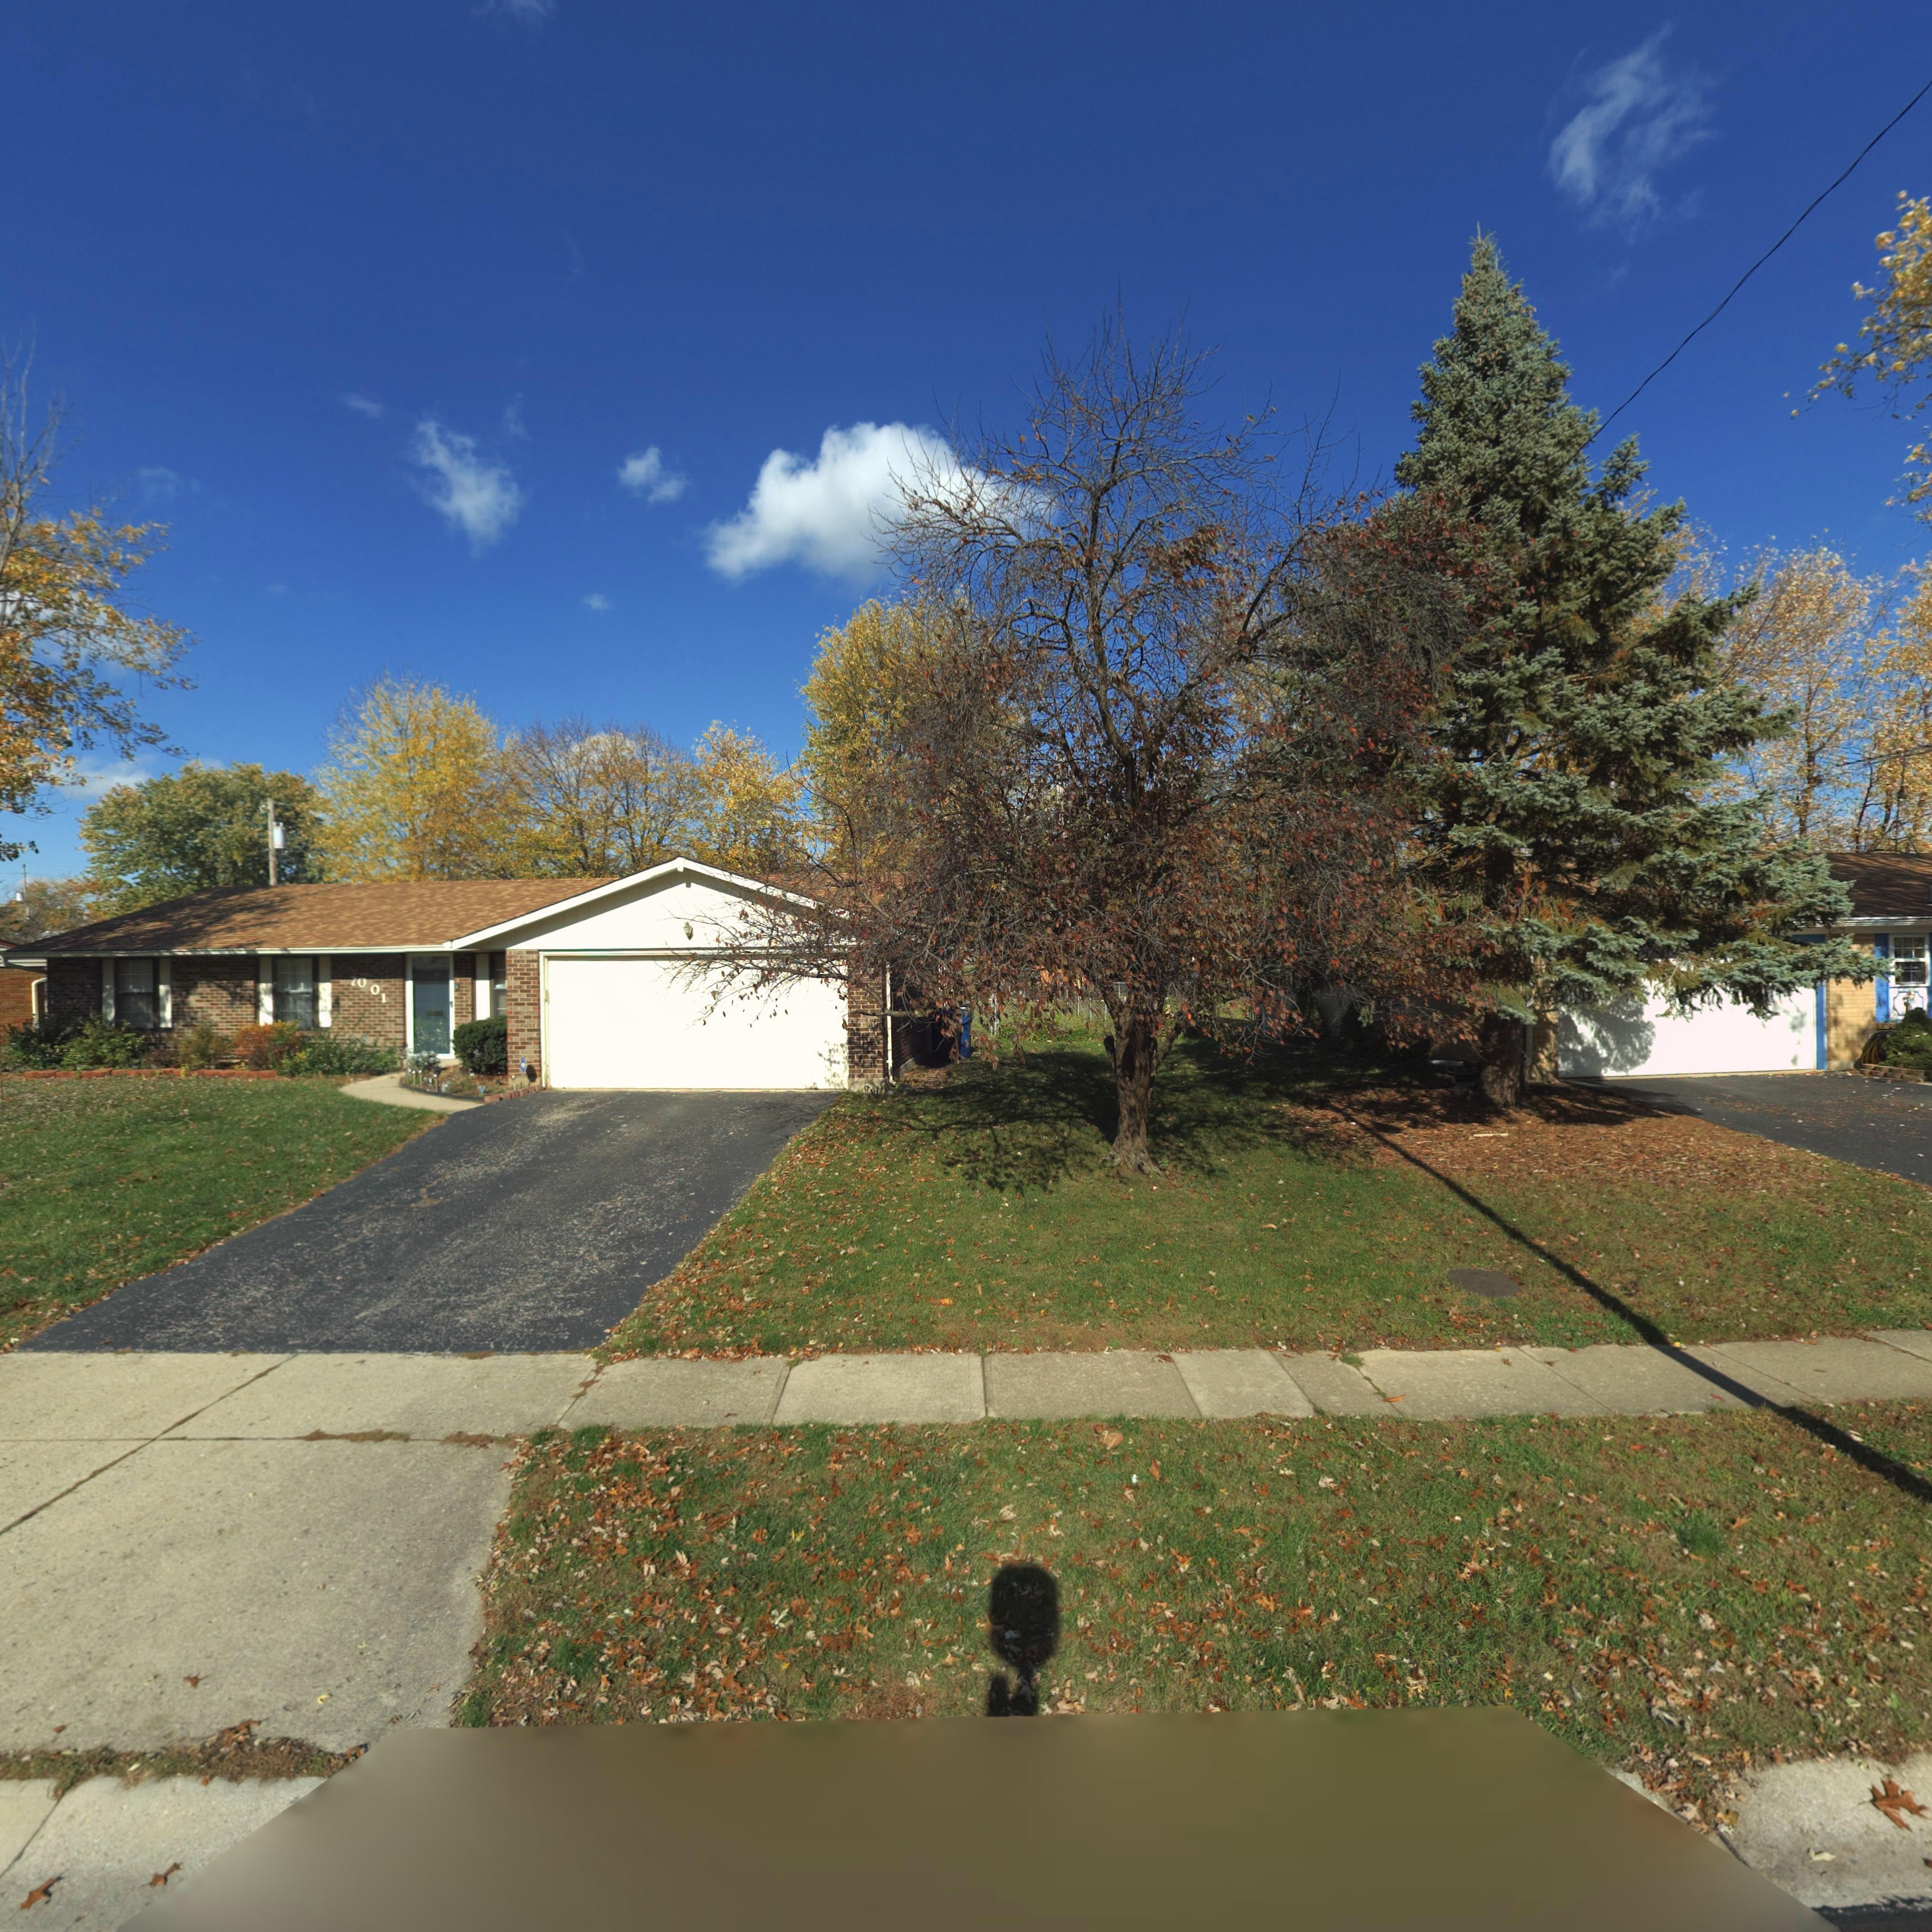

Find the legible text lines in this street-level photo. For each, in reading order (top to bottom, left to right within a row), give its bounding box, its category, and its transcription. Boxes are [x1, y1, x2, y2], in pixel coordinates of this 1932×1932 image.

[349, 975, 388, 1005] StreetNumber: 7001